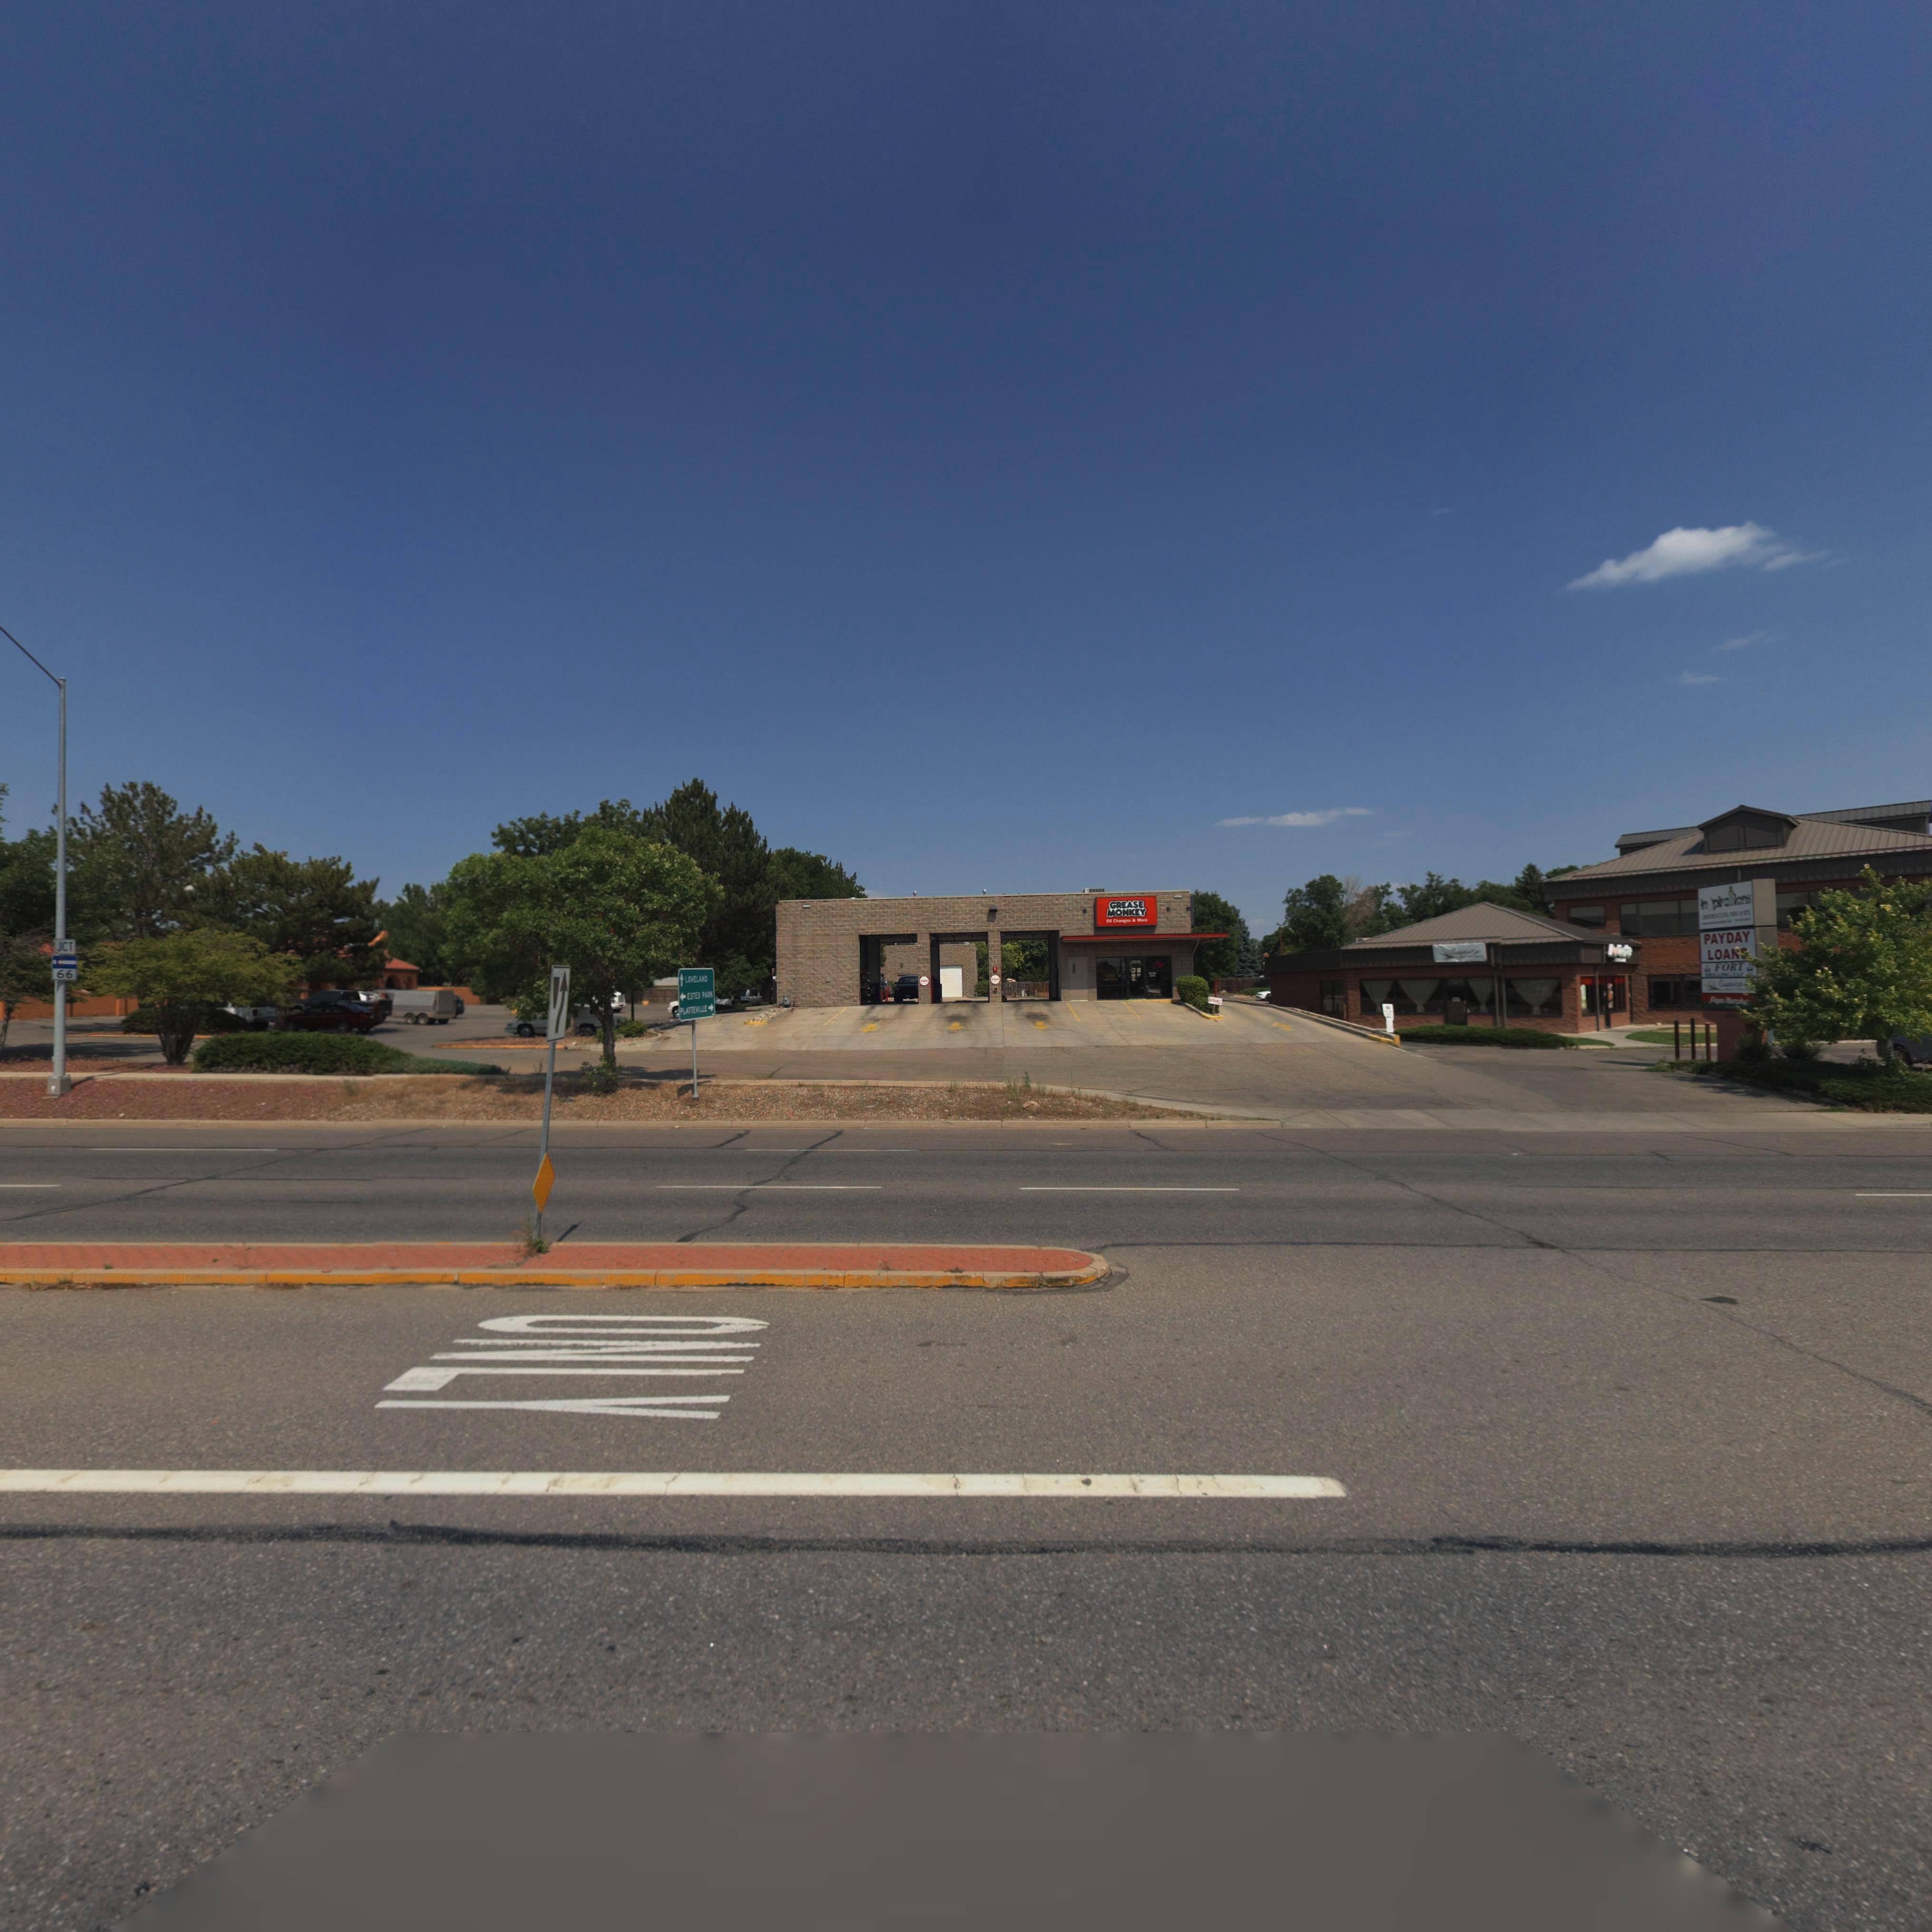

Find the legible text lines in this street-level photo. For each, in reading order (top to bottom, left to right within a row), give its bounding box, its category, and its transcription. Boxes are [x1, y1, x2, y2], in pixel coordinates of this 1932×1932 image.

[1700, 884, 1752, 911] BusinessName: in*pira8ions
[1110, 901, 1143, 908] BusinessName: GREASE
[1107, 908, 1146, 917] BusinessName: MONKEY
[1703, 930, 1751, 945] BusinessName: PAYDAY
[1449, 947, 1480, 956] BusinessName: E******
[1707, 946, 1748, 960] BusinessName: LOA**
[1131, 959, 1141, 964] StreetNumber: 222*
[1715, 962, 1746, 972] BusinessName: FORT
[1705, 971, 1745, 978] BusinessName: ***LLING, LLC
[1717, 978, 1742, 987] BusinessName: E******
[1708, 995, 1751, 1007] BusinessName: Papa Murphy'*